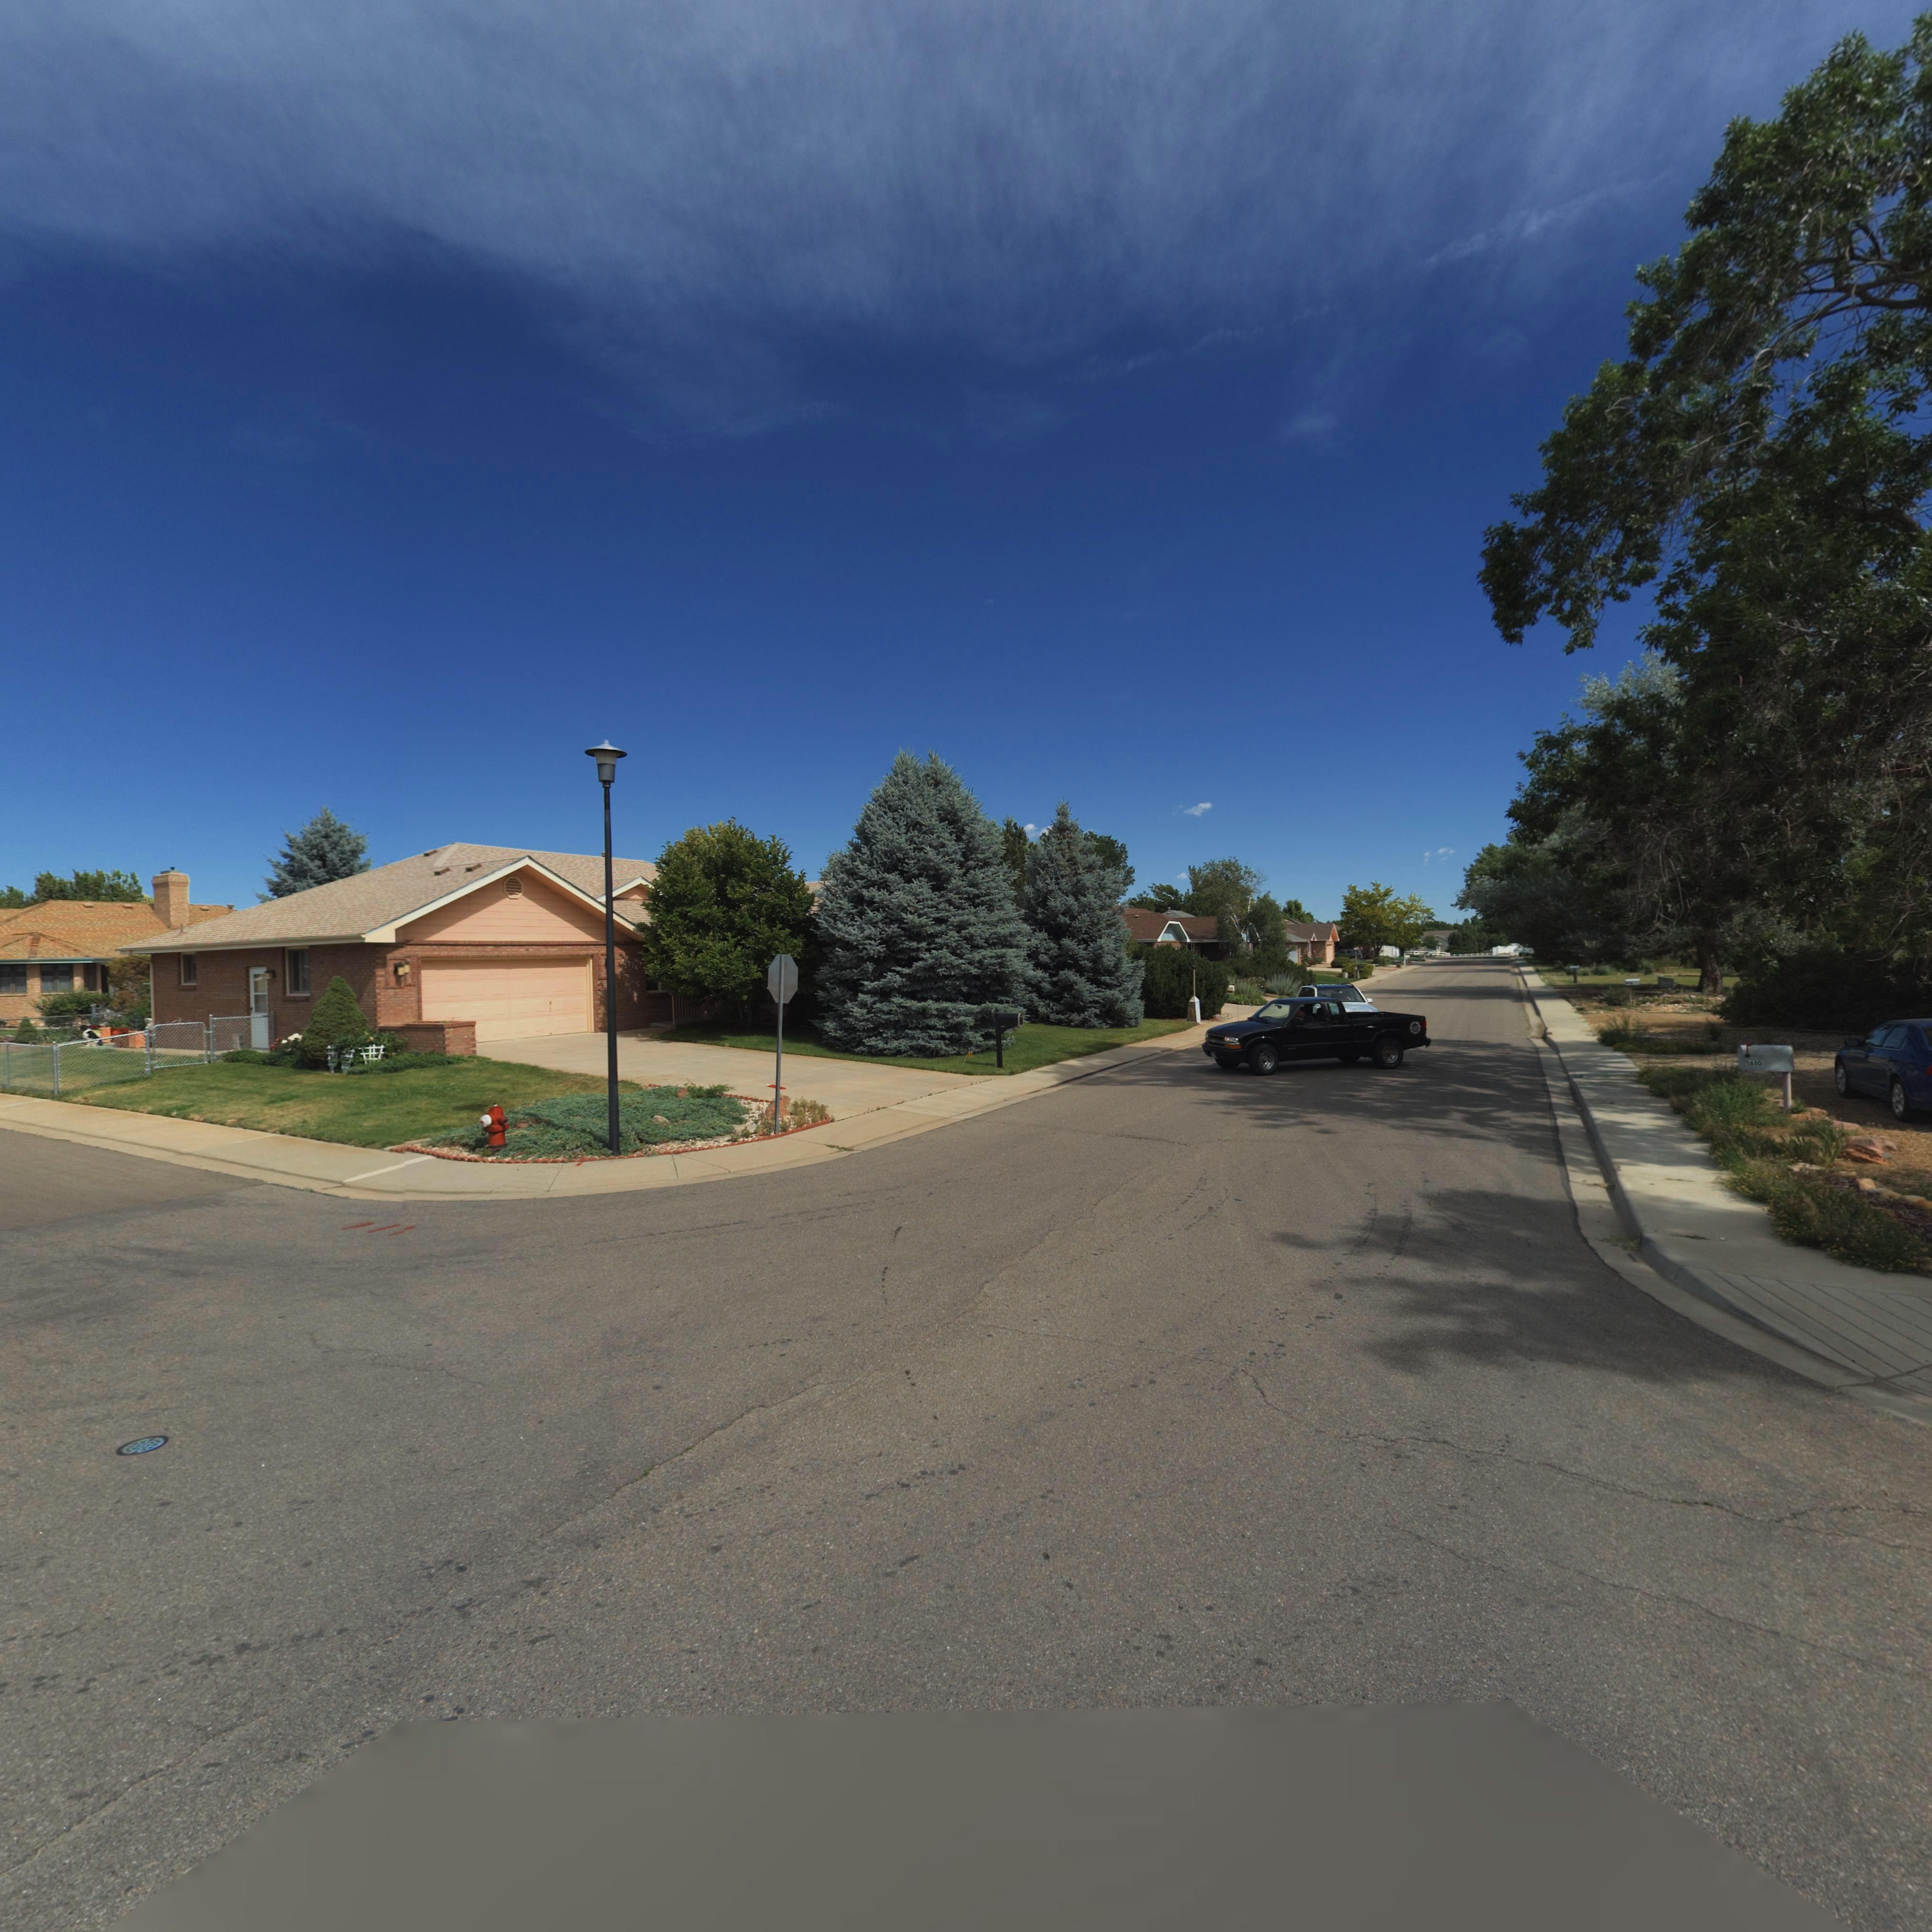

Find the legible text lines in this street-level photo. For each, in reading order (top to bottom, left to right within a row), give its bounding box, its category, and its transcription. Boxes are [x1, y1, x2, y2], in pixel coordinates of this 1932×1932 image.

[1747, 1060, 1762, 1066] StreetNumber: 1610